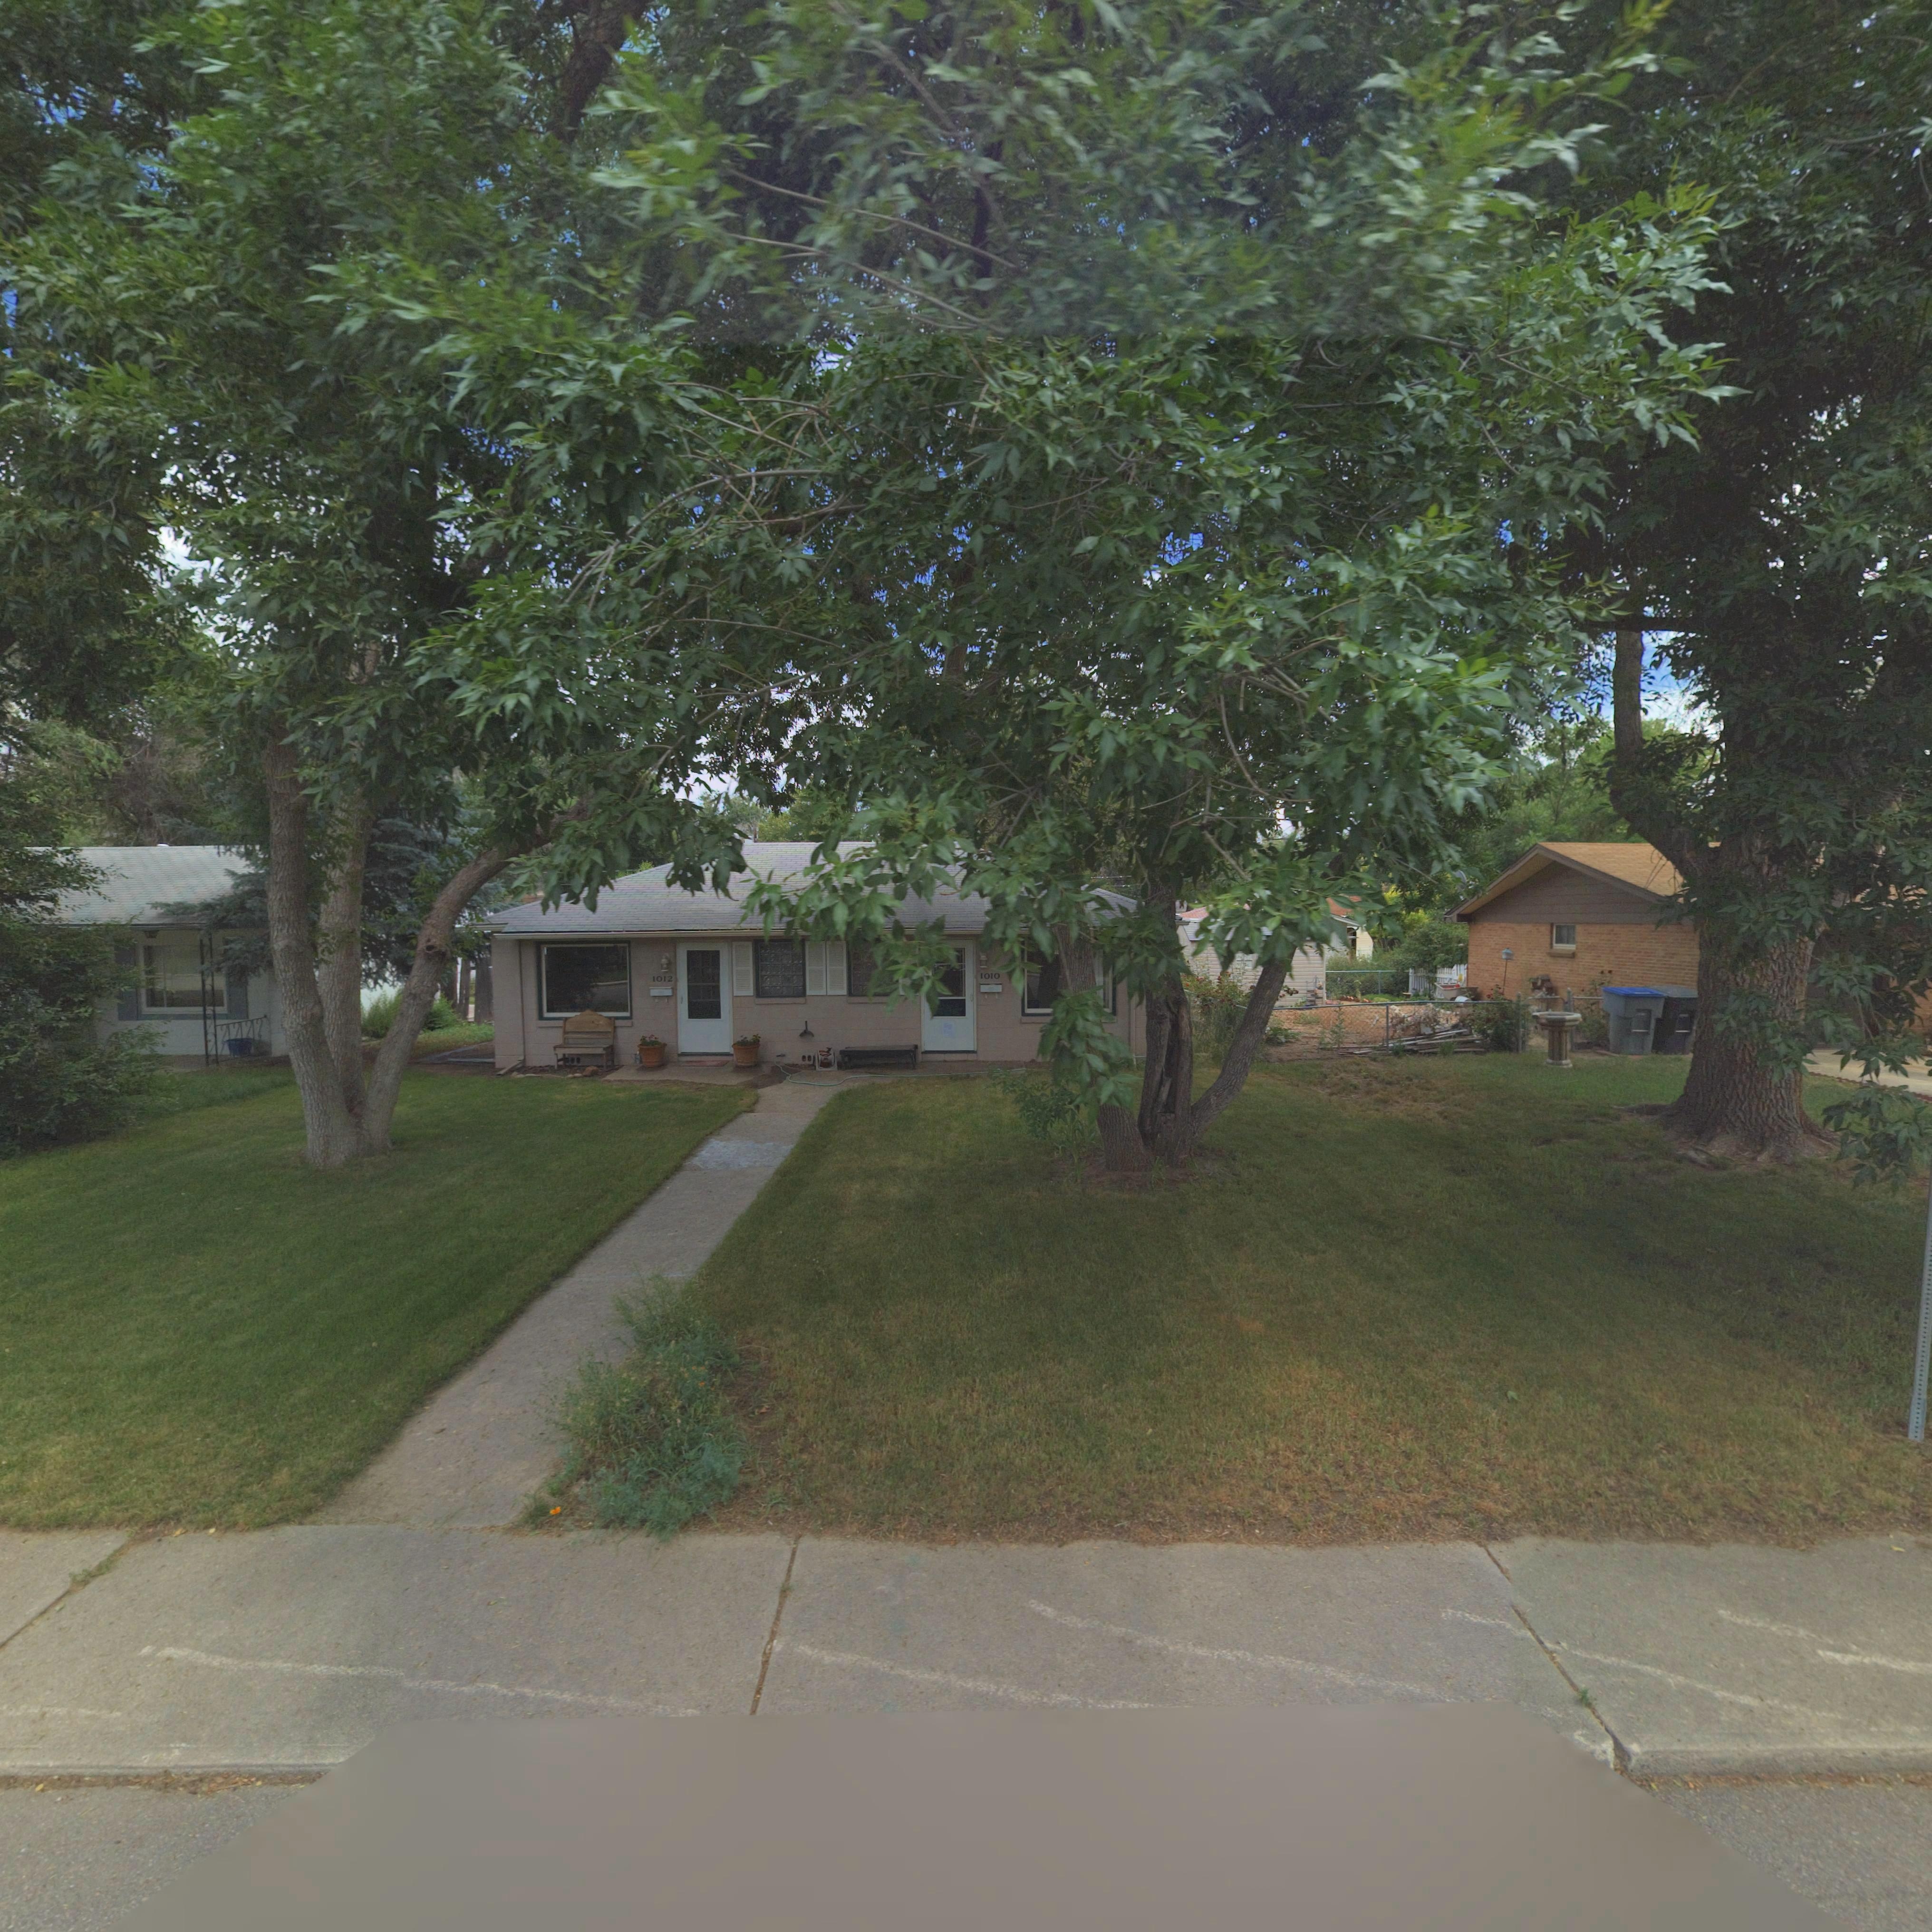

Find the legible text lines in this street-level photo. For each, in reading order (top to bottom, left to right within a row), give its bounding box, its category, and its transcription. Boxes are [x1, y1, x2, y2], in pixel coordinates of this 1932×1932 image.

[652, 976, 673, 982] StreetNumber: 1012
[980, 973, 1000, 979] StreetNumber: 1010